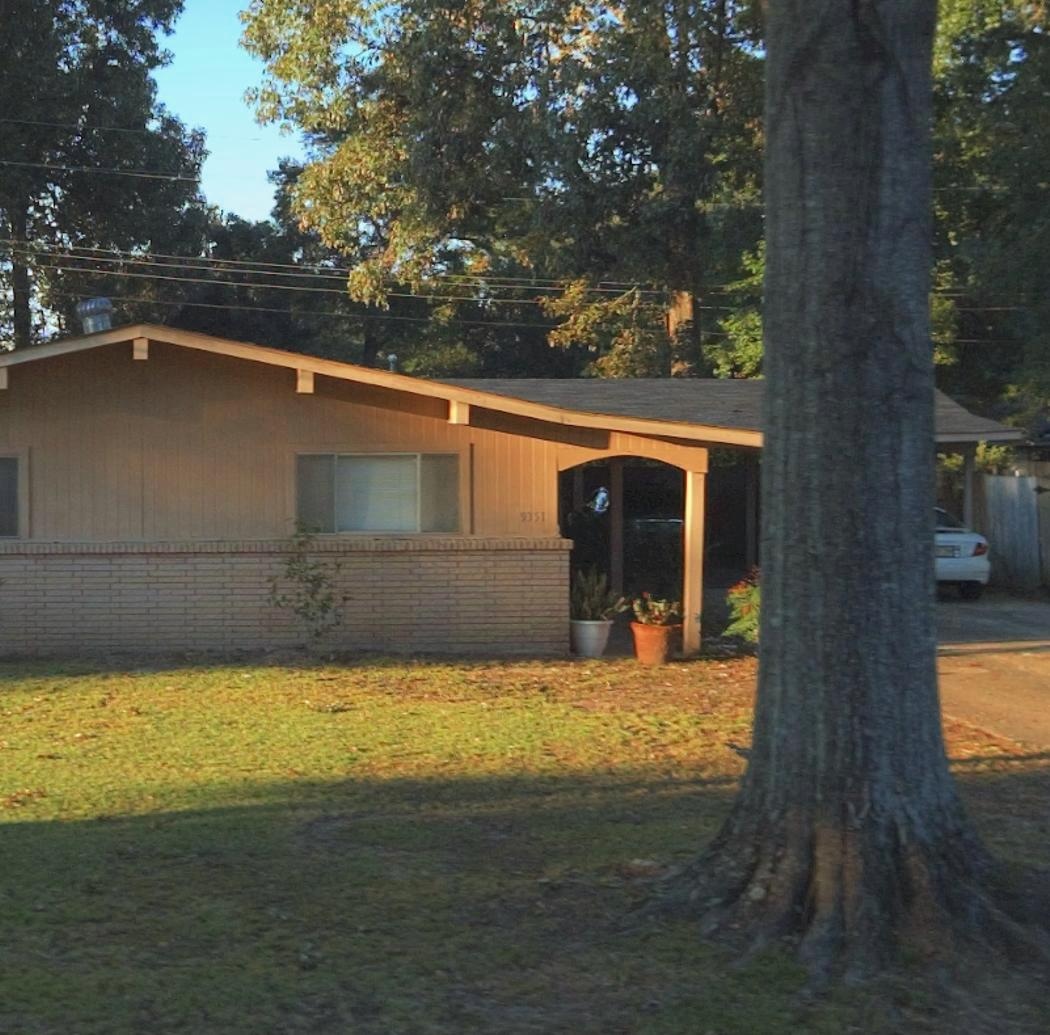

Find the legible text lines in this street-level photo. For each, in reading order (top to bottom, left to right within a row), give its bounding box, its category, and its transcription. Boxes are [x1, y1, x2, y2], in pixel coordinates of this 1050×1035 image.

[518, 510, 547, 524] StreetNumber: 9351